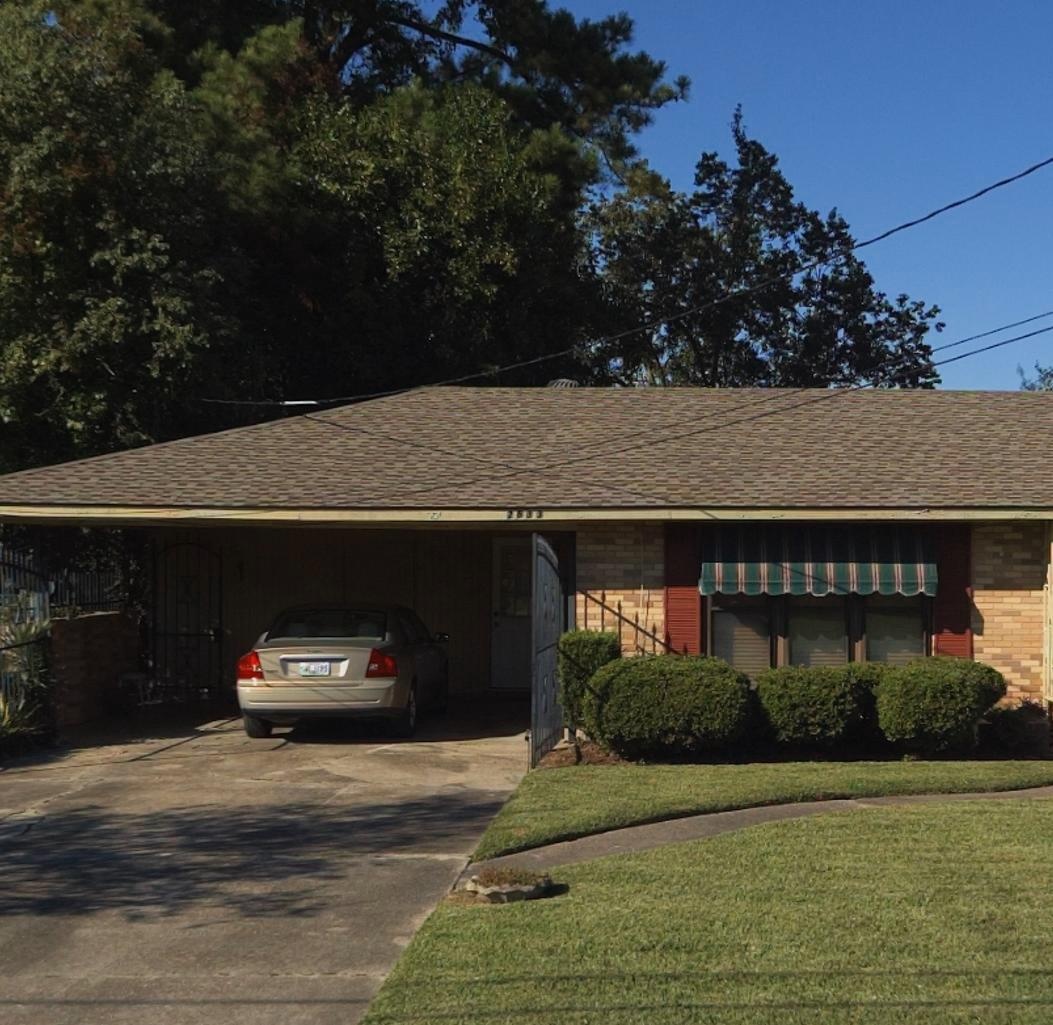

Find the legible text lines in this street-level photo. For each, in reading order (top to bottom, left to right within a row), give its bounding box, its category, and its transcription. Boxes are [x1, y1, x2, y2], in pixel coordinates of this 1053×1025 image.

[506, 508, 545, 520] StreetNumber: 2833